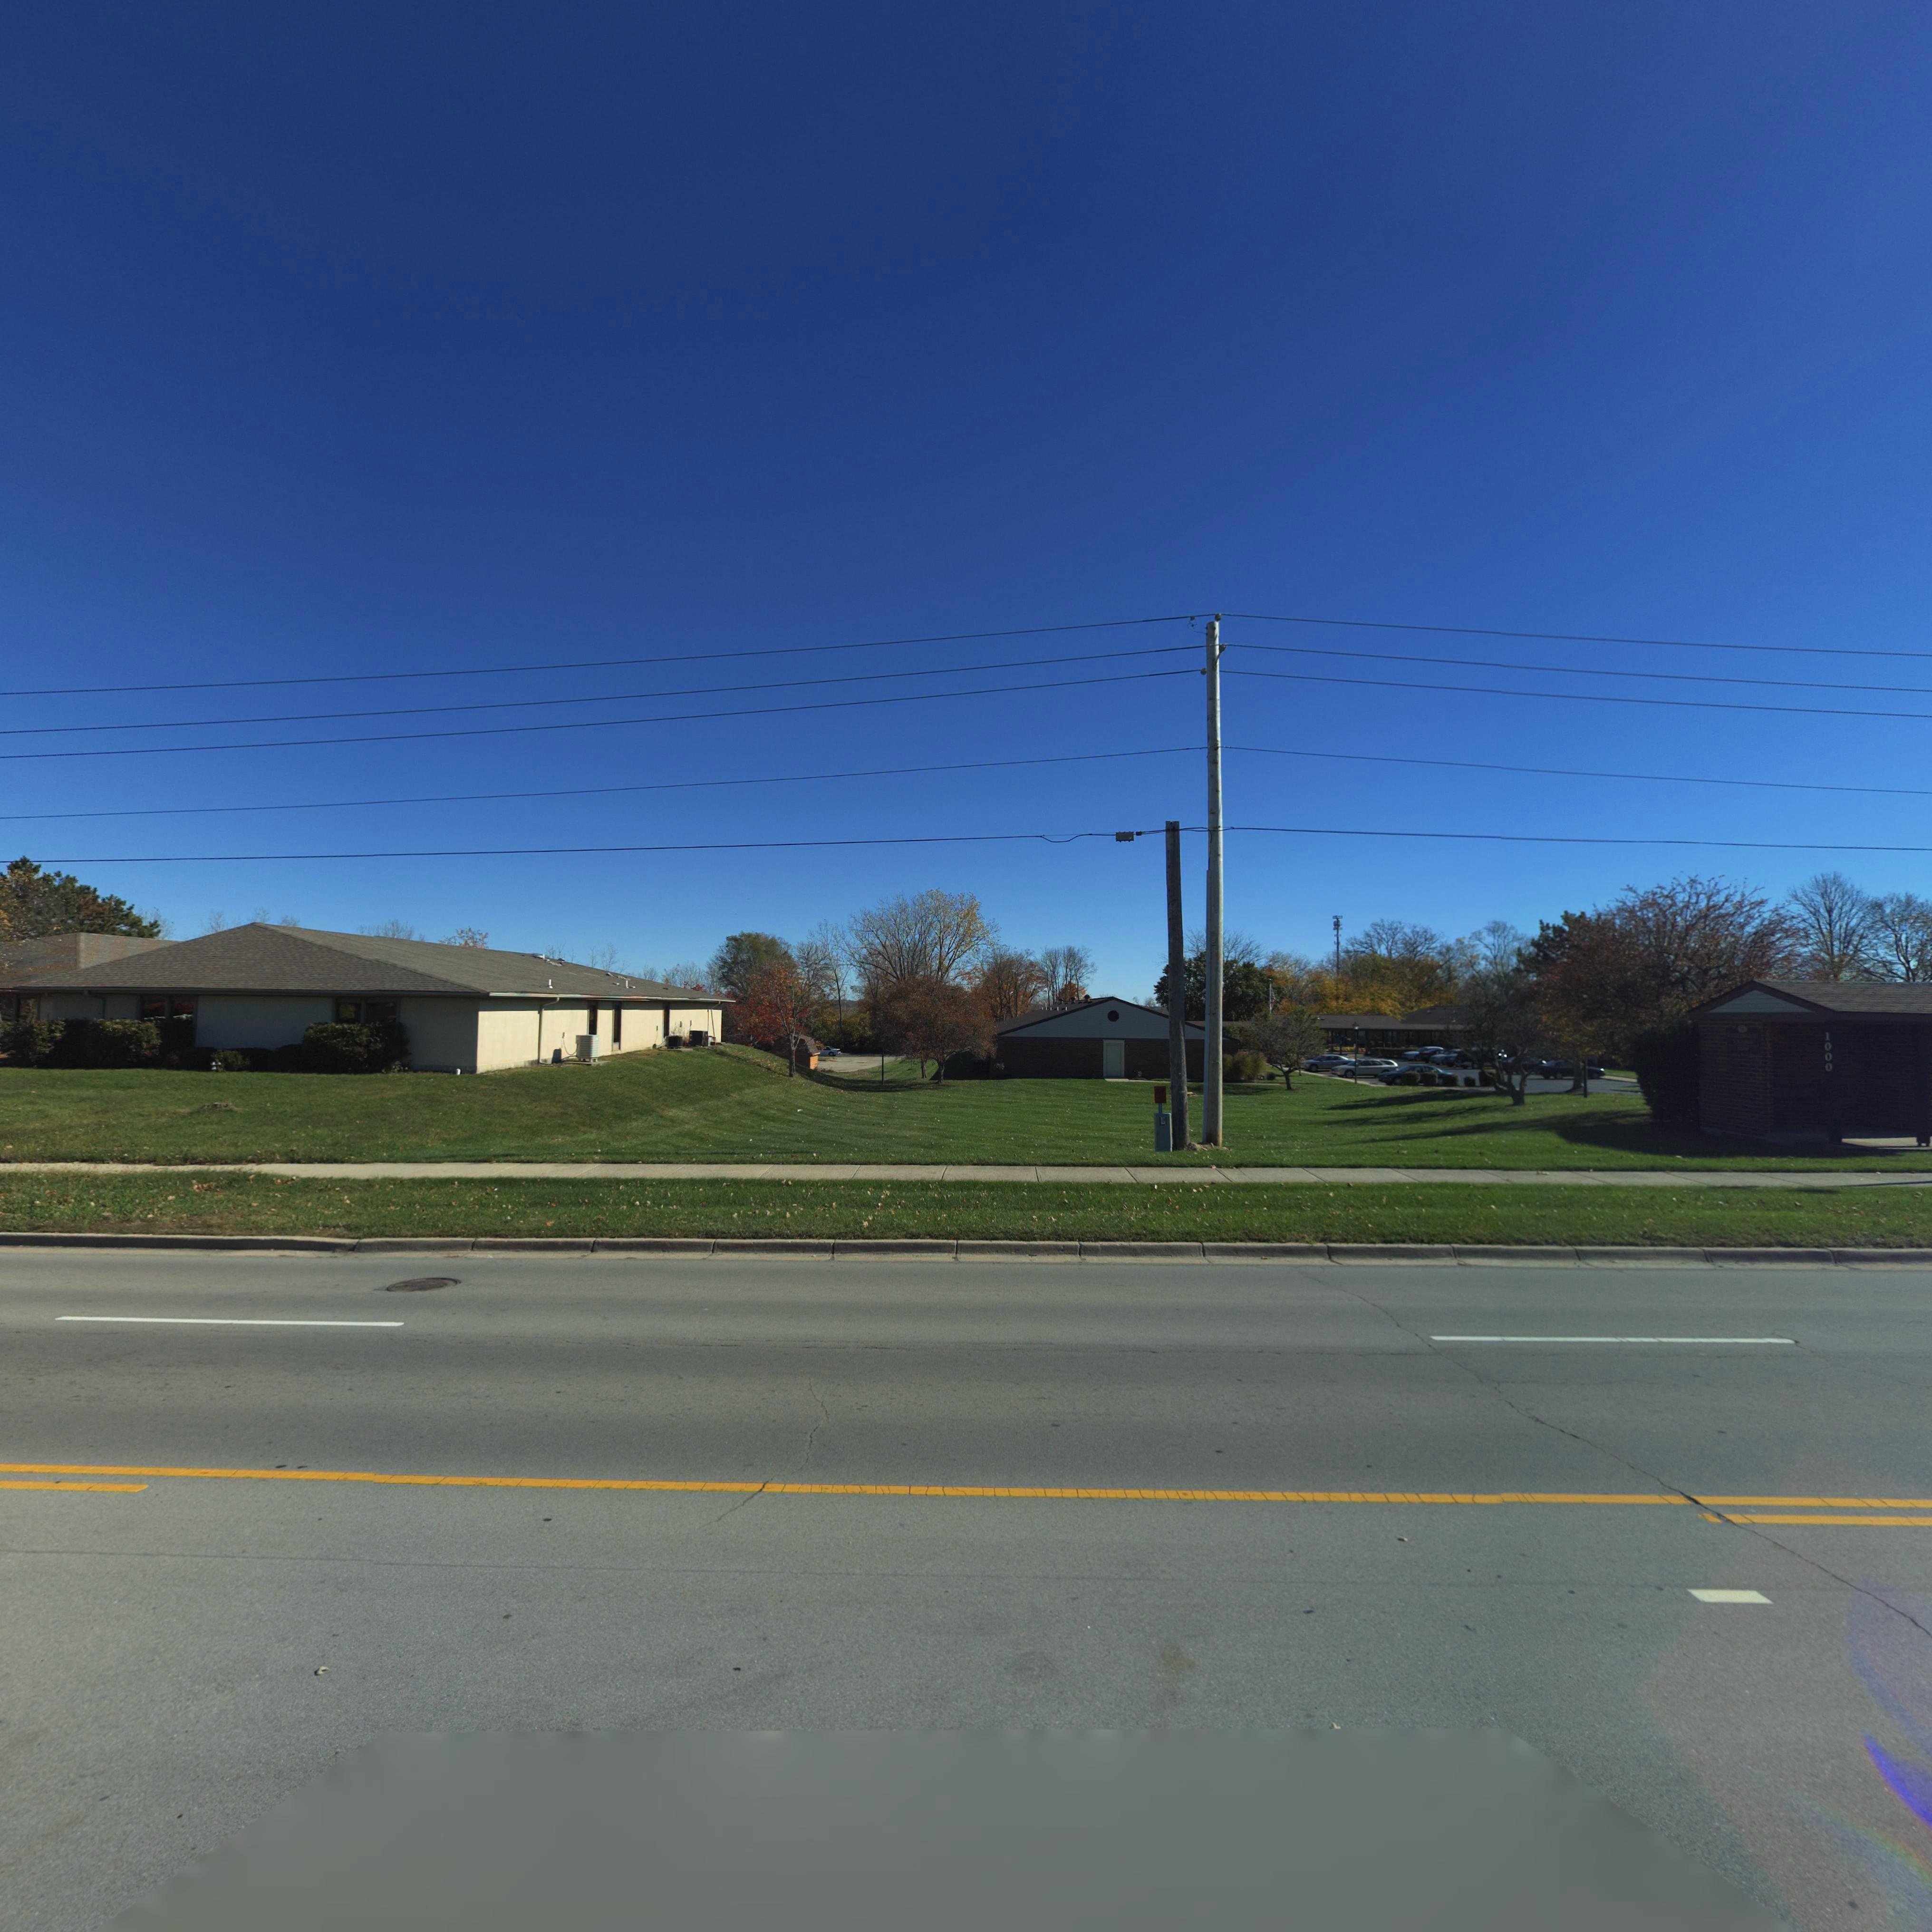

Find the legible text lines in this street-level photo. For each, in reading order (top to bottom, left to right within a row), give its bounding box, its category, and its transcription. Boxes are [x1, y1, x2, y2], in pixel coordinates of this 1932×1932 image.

[1823, 1031, 1834, 1073] StreetNumber: 1000